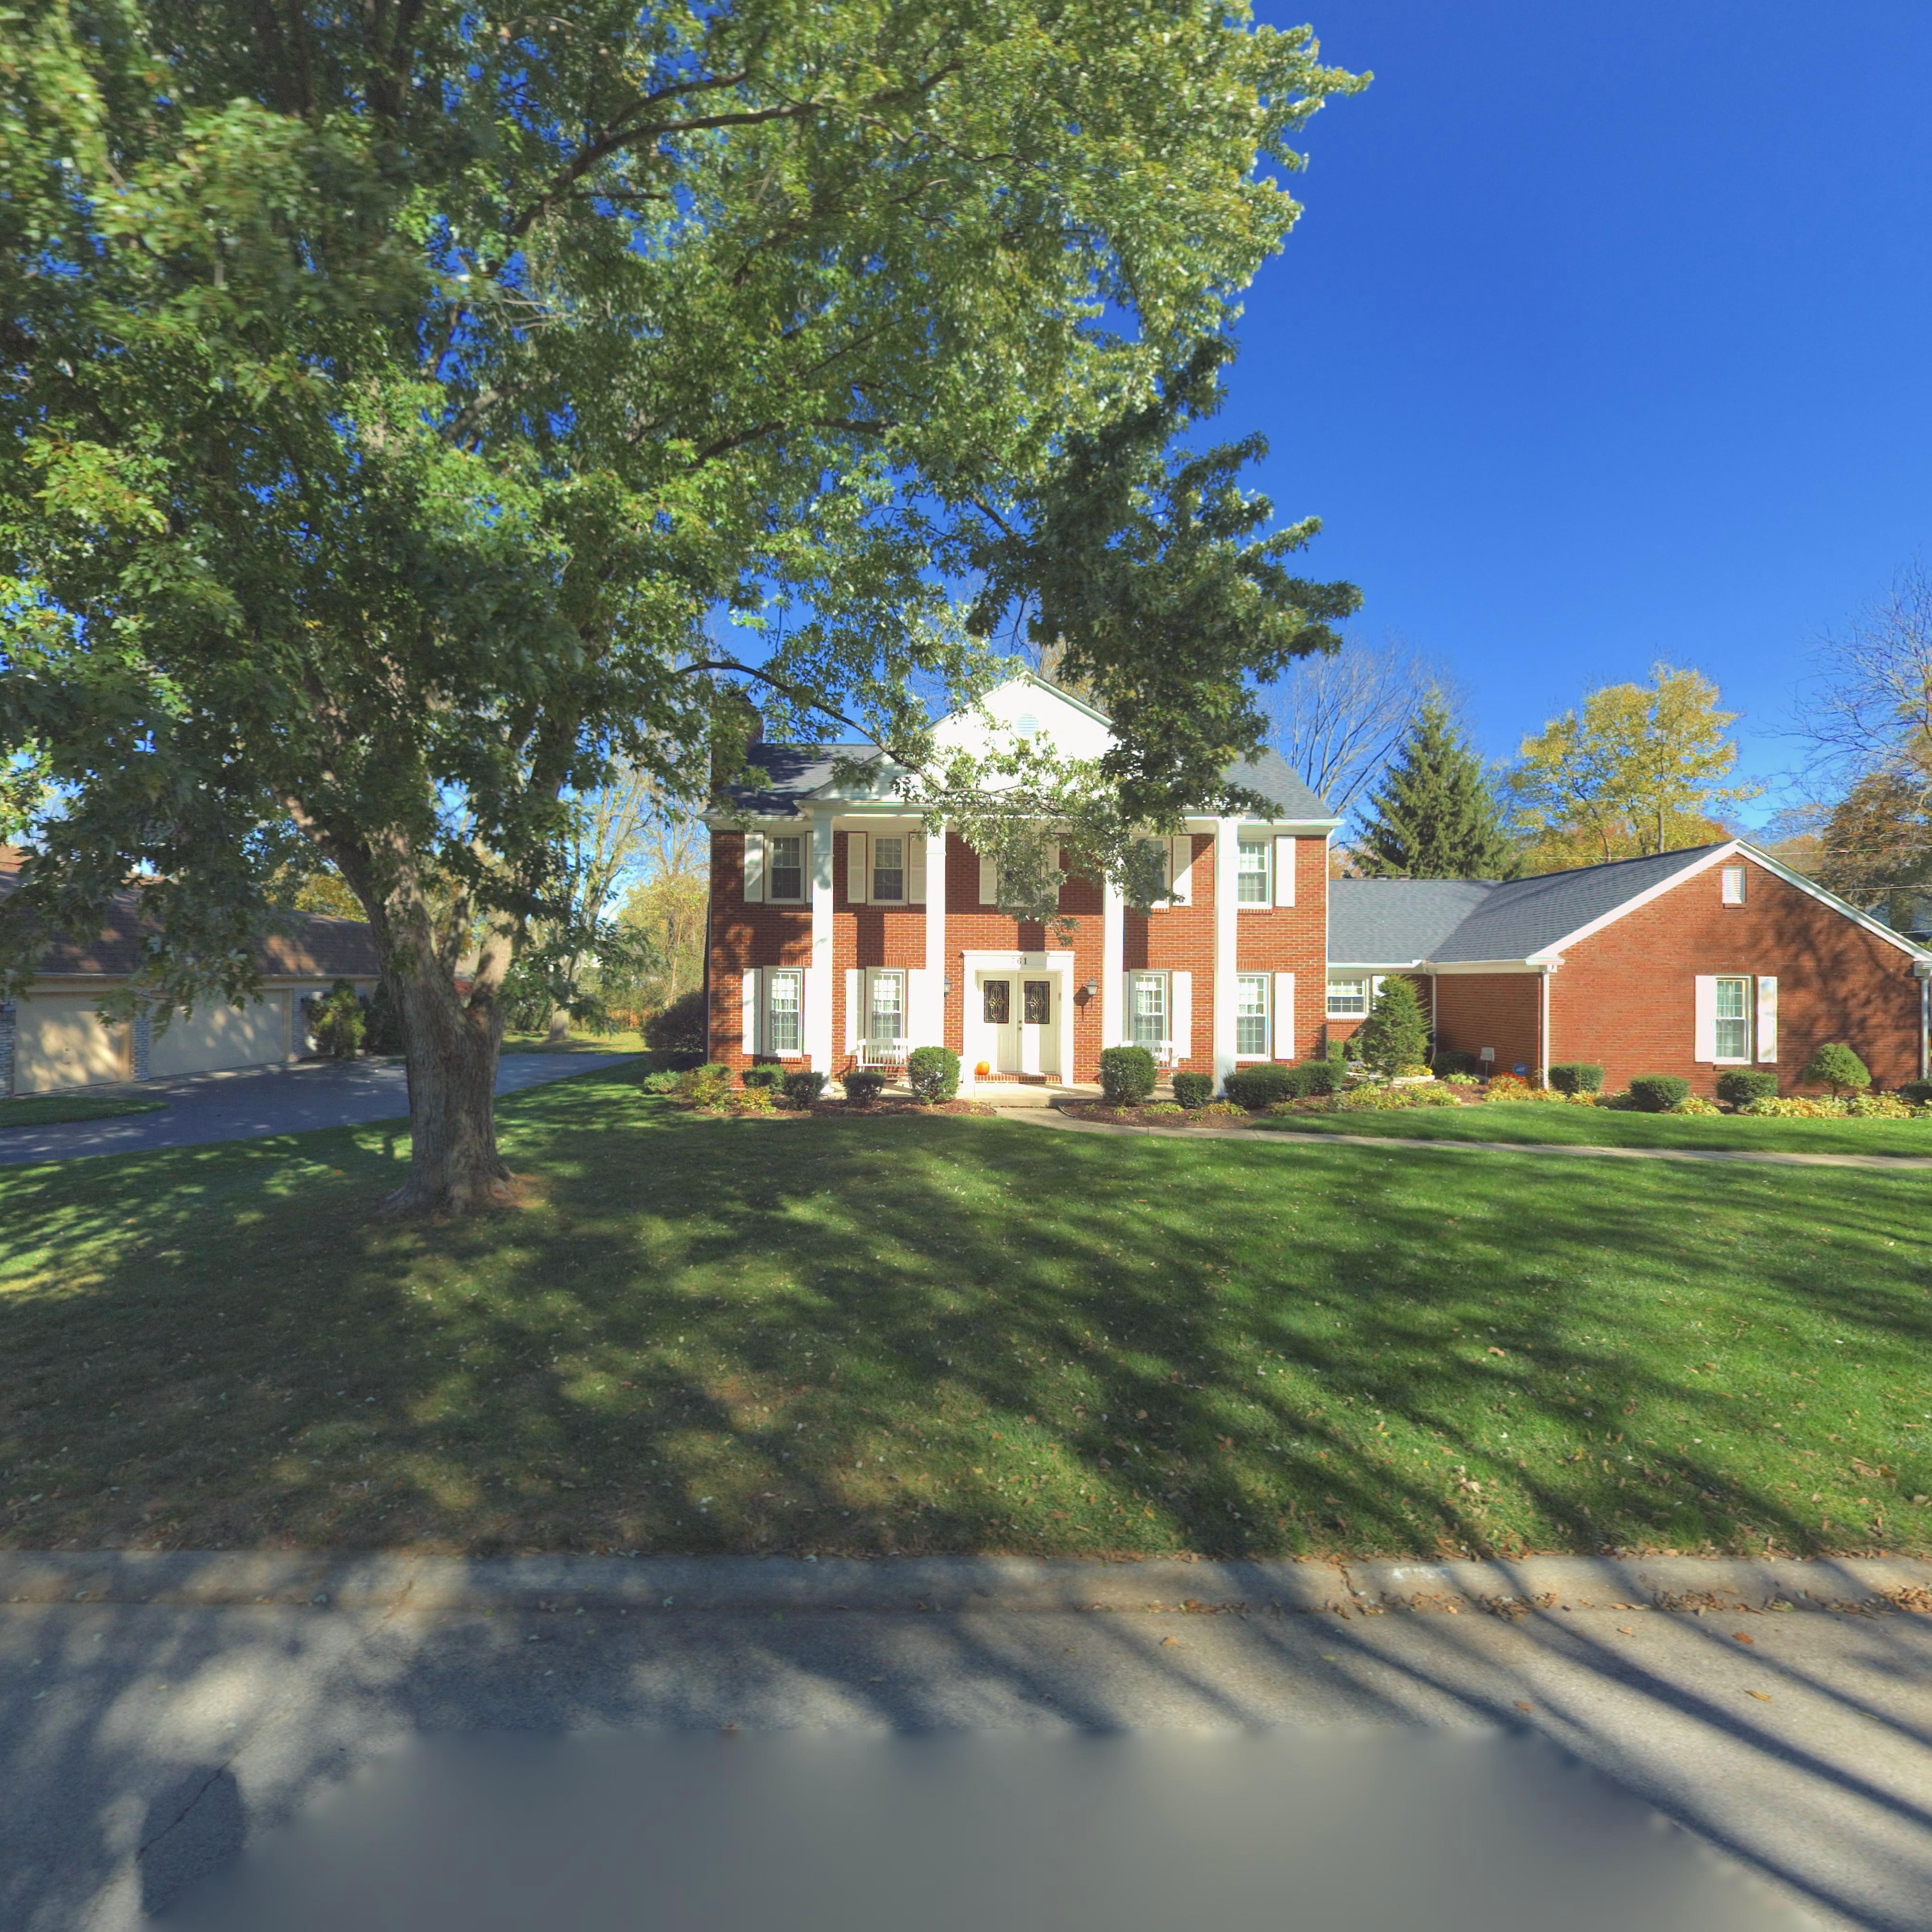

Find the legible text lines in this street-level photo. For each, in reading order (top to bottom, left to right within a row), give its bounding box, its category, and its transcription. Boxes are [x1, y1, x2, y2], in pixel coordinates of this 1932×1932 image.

[1010, 957, 1027, 965] StreetNumber: 761